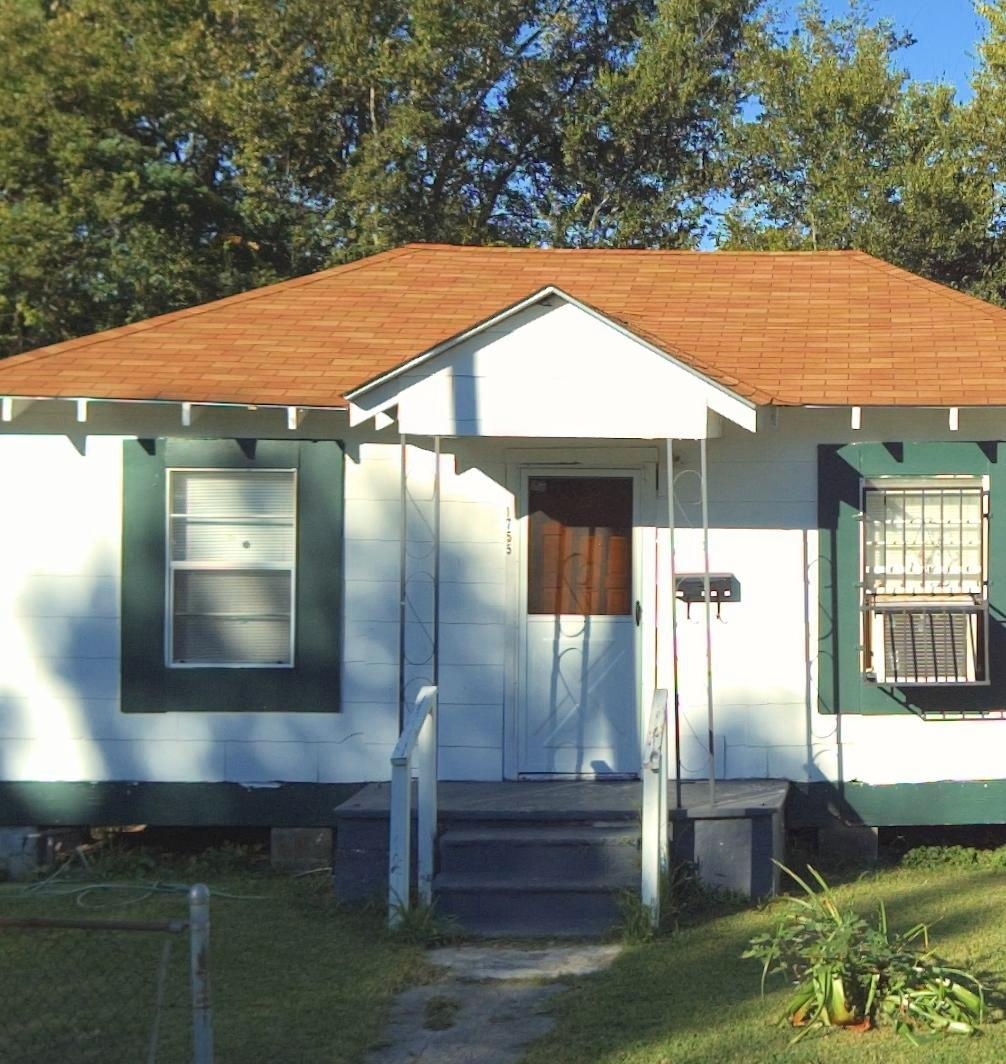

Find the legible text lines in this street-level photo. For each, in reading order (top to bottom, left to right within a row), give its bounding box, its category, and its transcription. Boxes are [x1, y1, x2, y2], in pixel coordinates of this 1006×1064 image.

[504, 505, 513, 557] StreetNumber: 1755